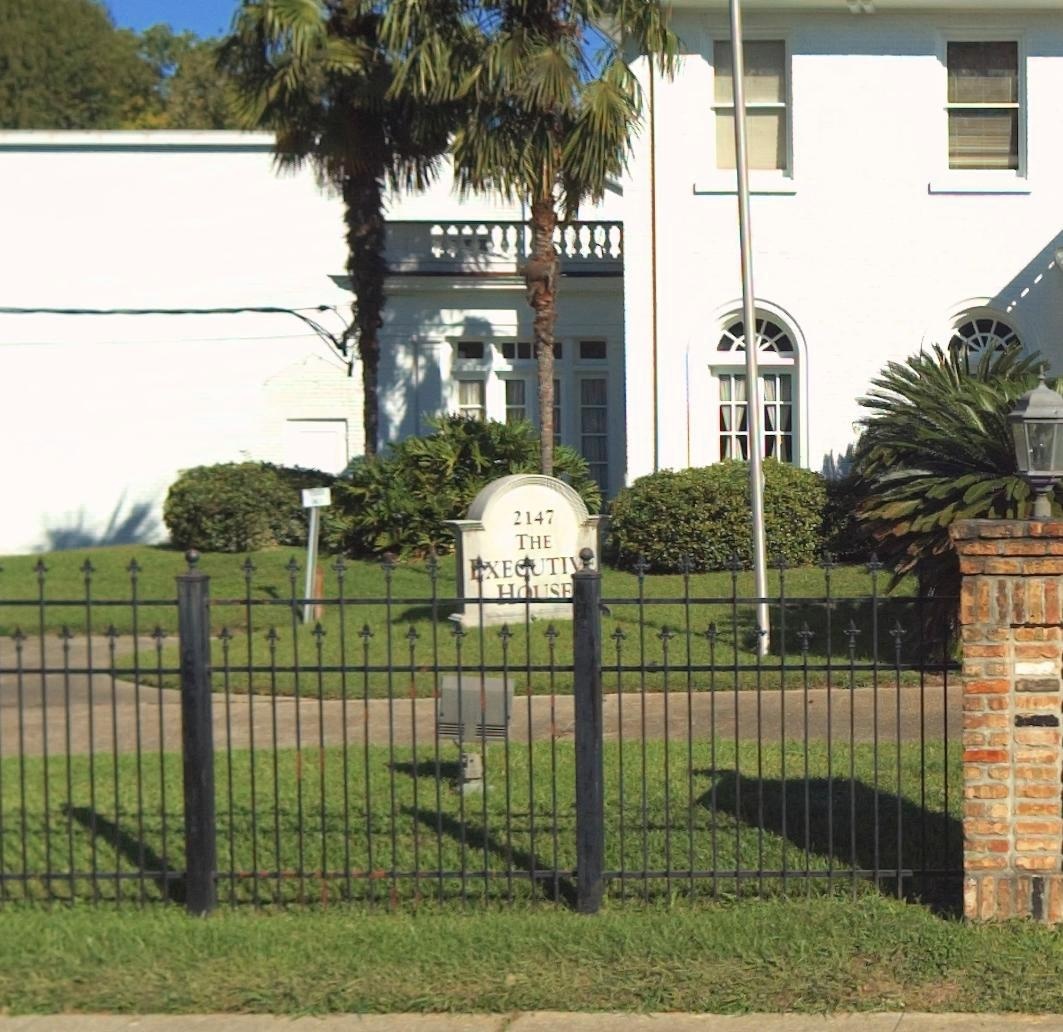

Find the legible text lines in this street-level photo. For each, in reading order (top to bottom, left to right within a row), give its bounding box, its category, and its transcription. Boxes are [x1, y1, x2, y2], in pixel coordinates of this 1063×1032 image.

[509, 507, 558, 528] StreetNumber: 2147
[512, 531, 554, 553] None: THE
[484, 554, 571, 582] None: E**TI